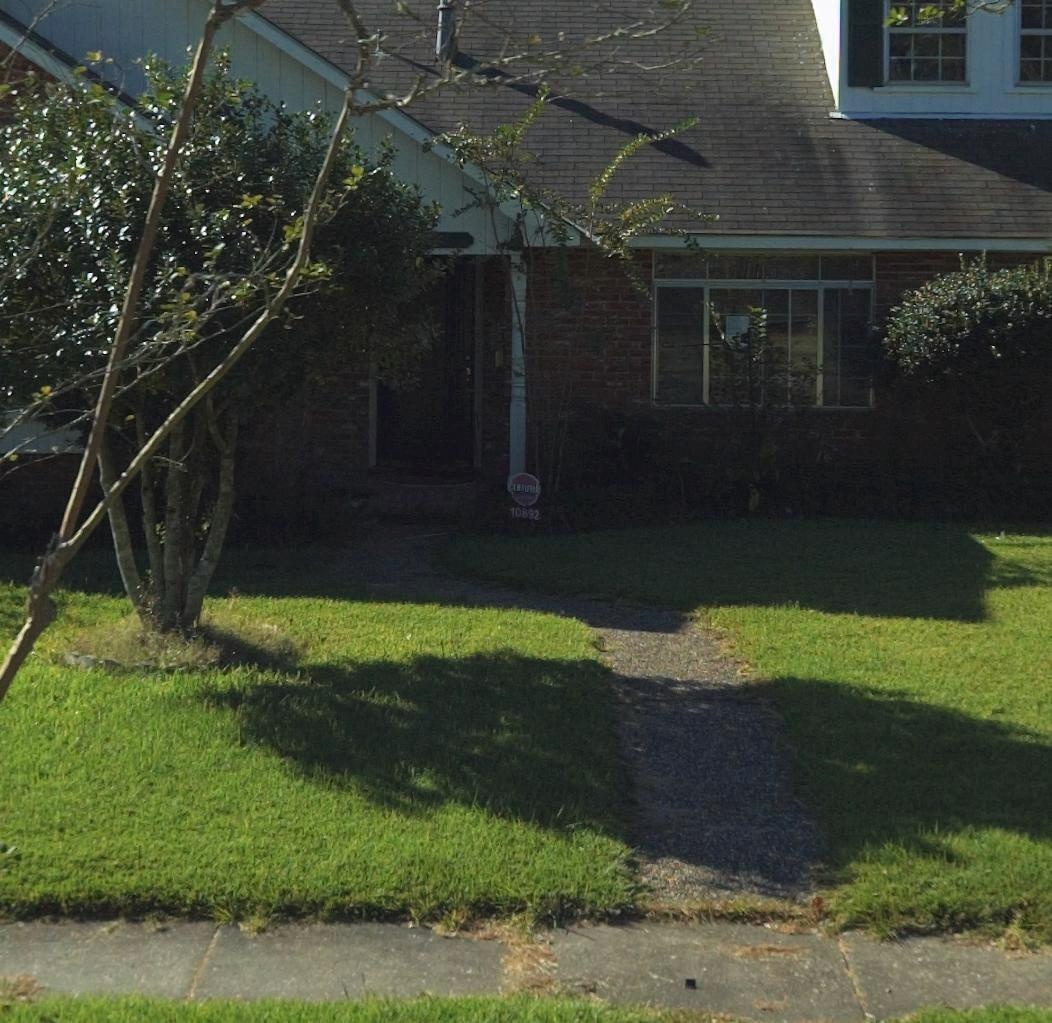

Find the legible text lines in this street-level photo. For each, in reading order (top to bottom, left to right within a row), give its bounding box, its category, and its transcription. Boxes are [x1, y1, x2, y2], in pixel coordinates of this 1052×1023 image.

[507, 505, 542, 522] StreetNumber: 10892